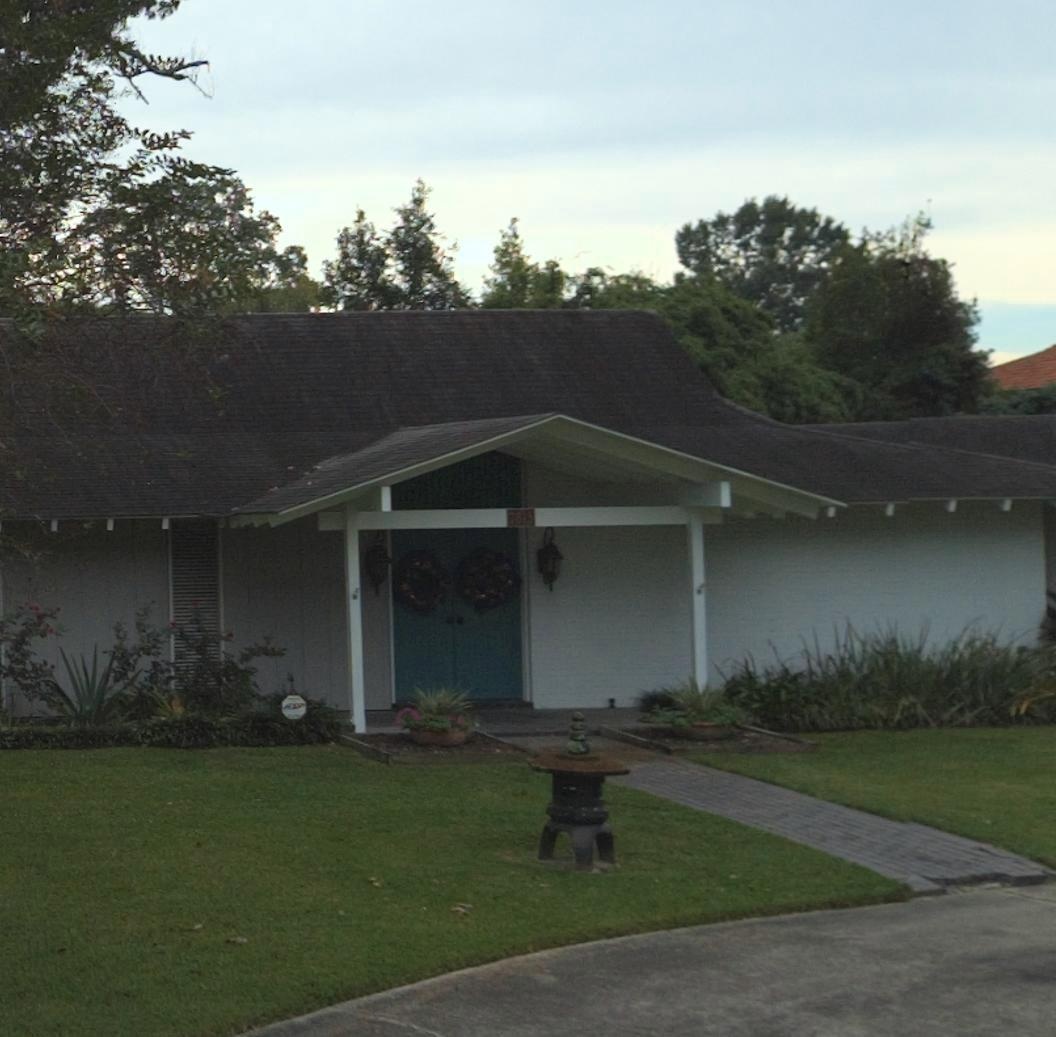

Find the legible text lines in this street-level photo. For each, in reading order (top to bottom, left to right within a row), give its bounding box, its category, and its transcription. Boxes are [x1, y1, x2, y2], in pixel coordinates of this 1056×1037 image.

[507, 511, 535, 526] StreetNumber: 7815